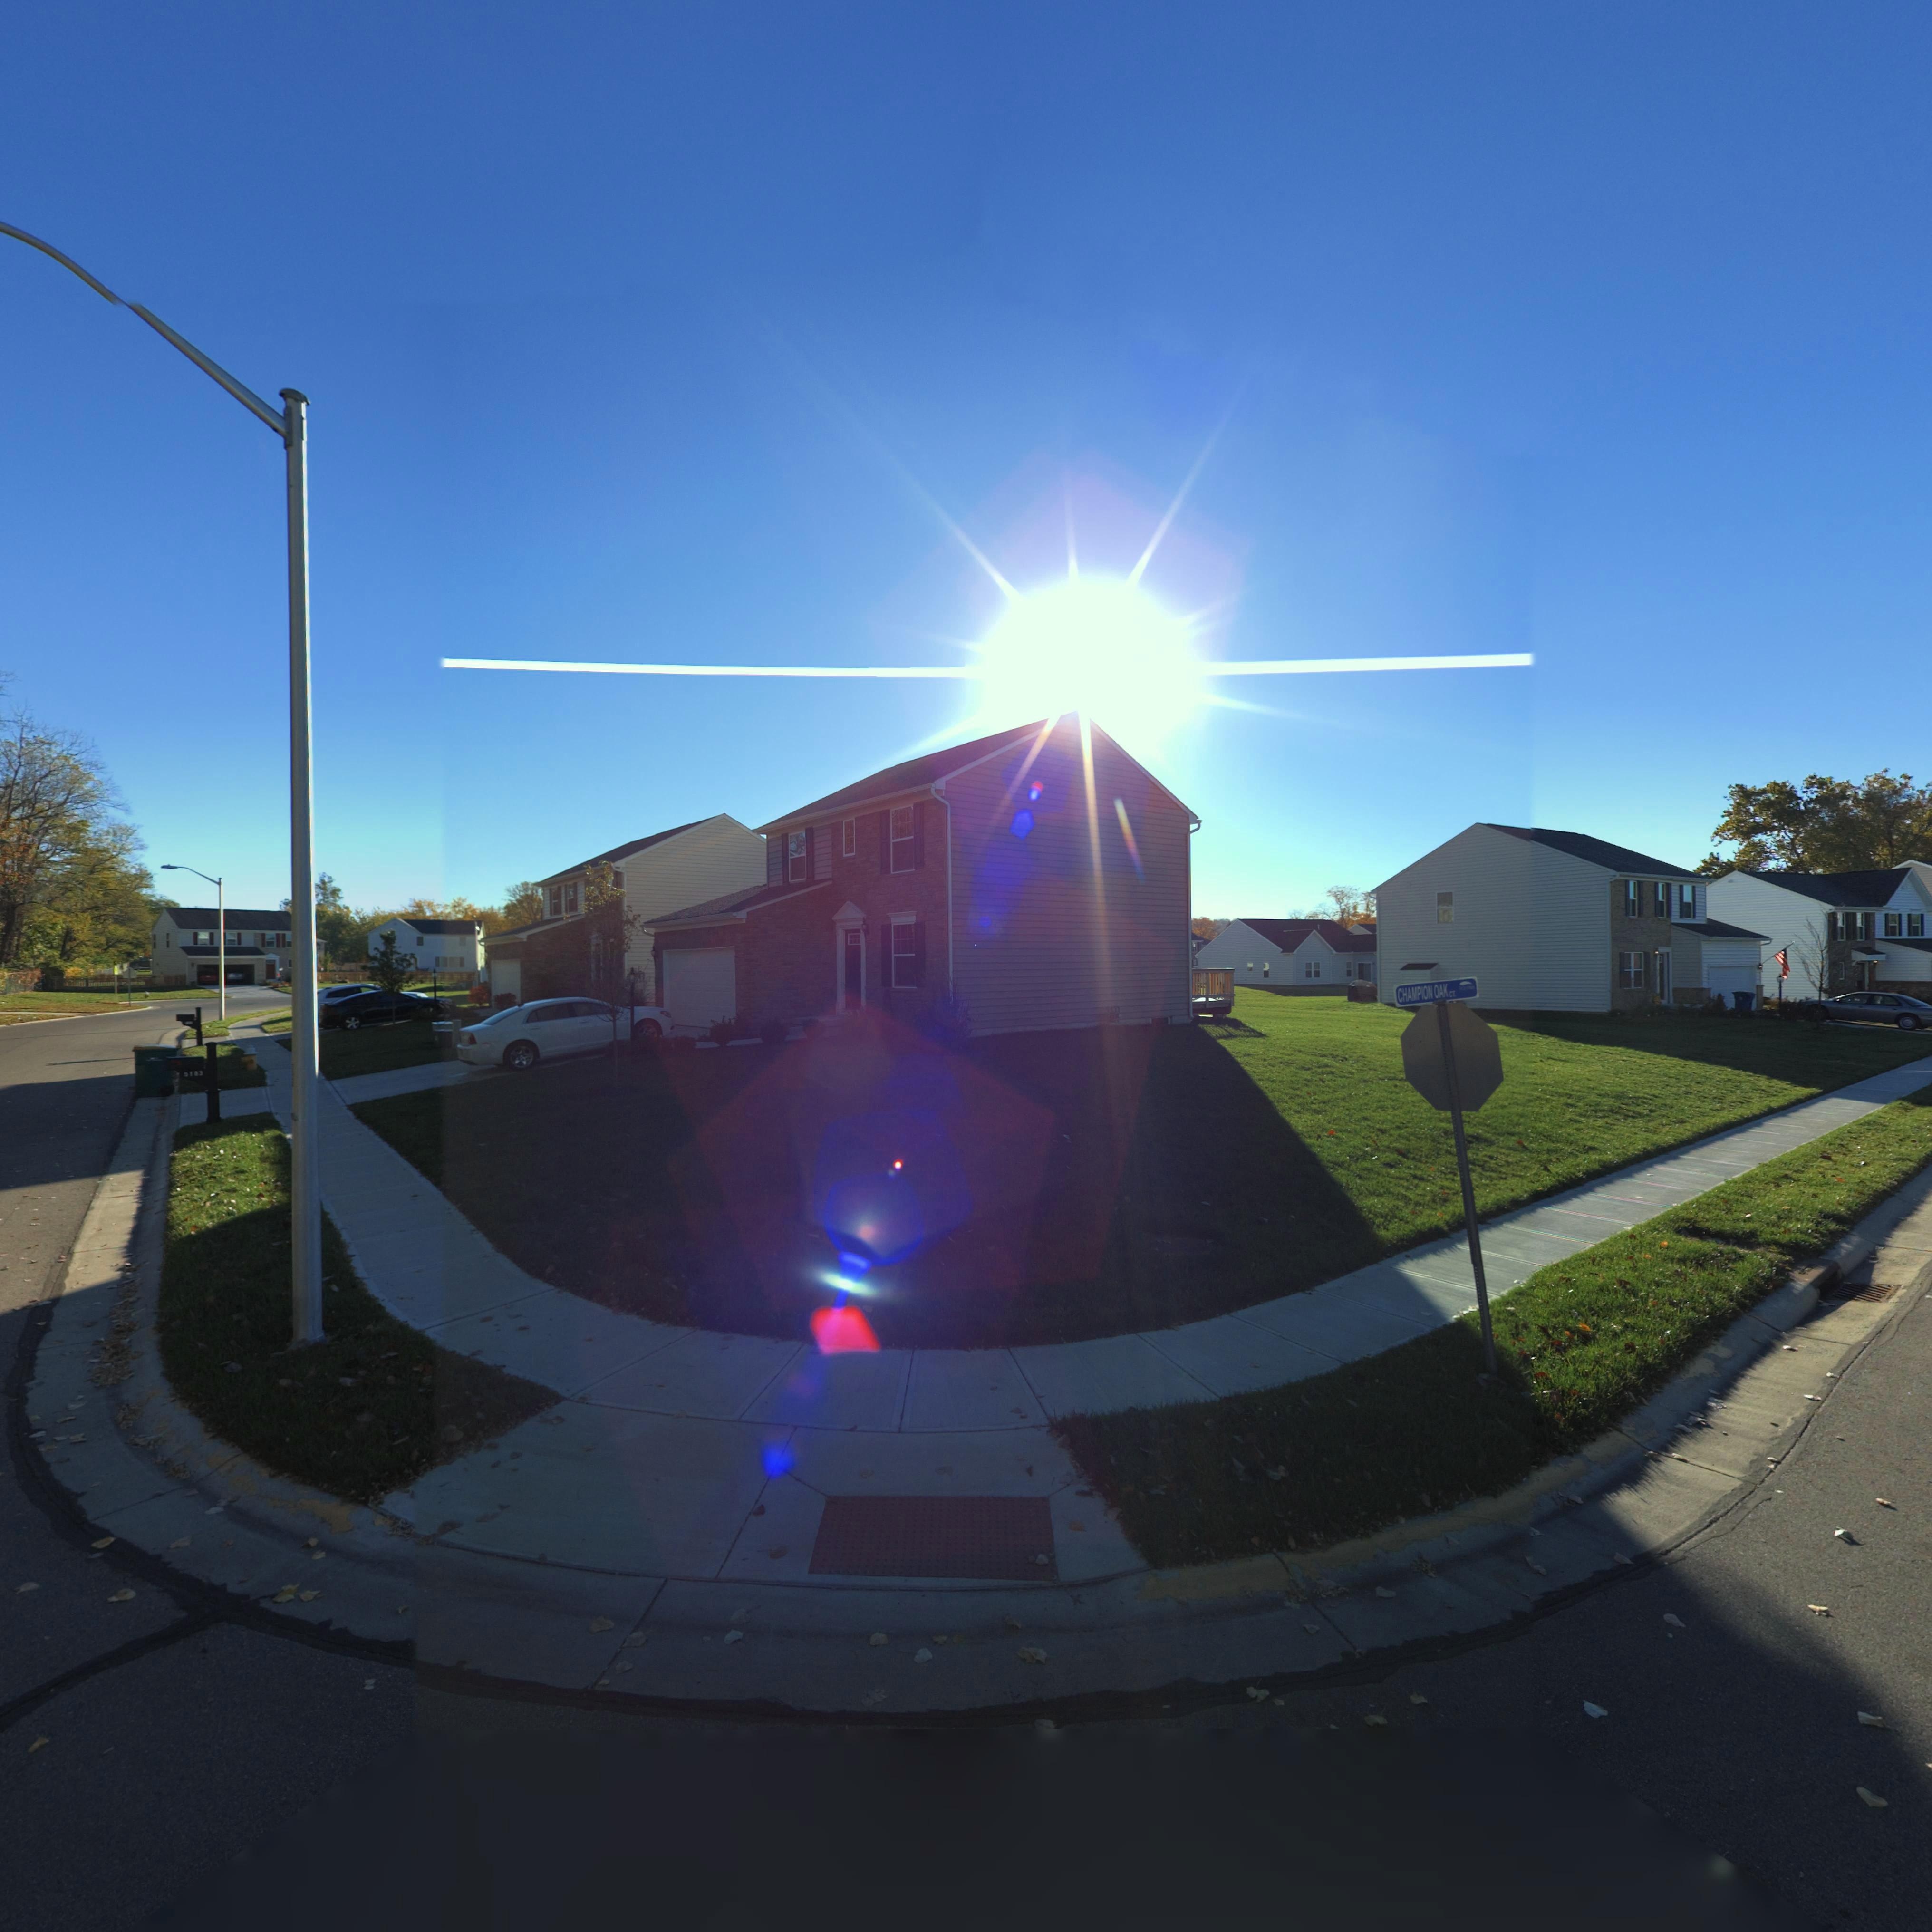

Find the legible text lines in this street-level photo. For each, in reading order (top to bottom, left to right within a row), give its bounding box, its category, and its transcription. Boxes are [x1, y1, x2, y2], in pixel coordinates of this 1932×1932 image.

[183, 1069, 204, 1079] StreetNumber: 5183